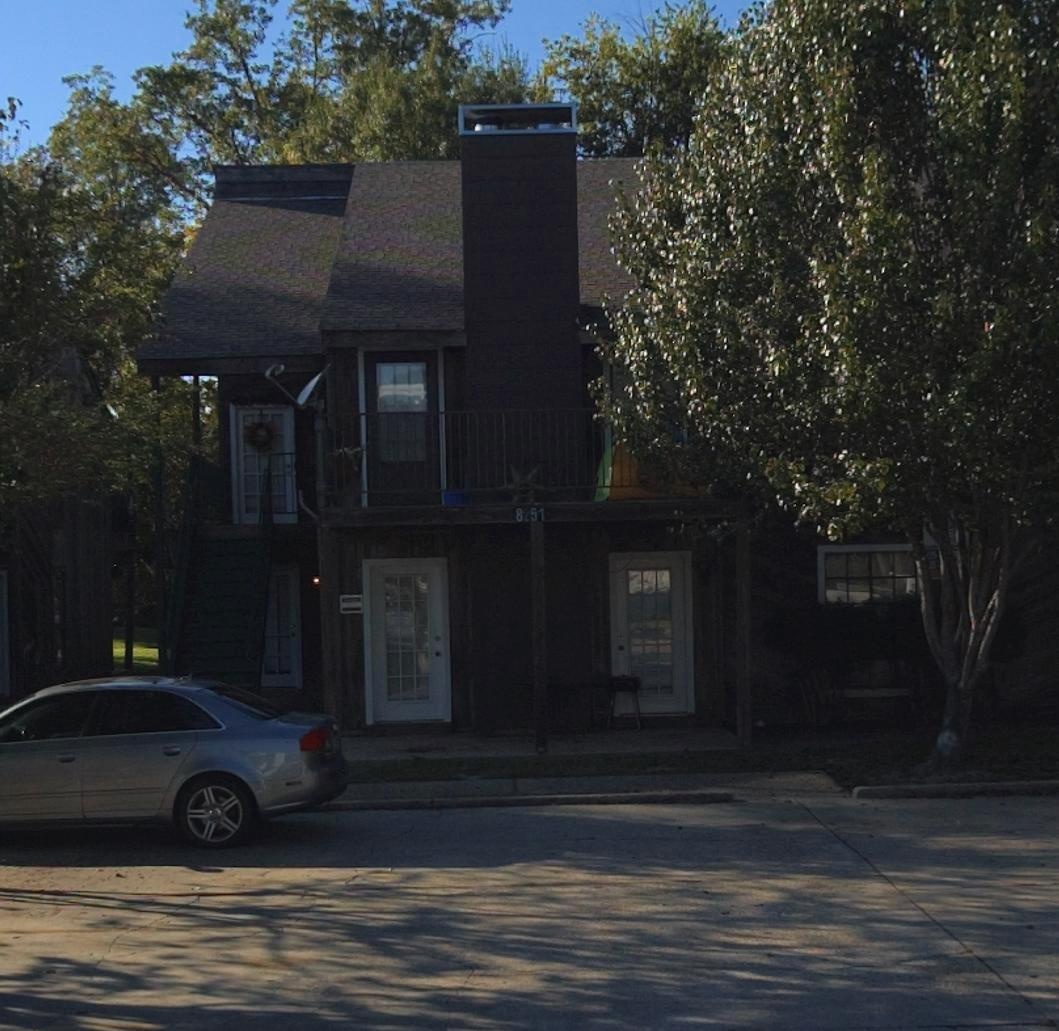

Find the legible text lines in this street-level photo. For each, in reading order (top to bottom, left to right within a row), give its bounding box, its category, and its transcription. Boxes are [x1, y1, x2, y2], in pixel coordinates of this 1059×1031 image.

[515, 507, 545, 523] StreetNumber: 8251